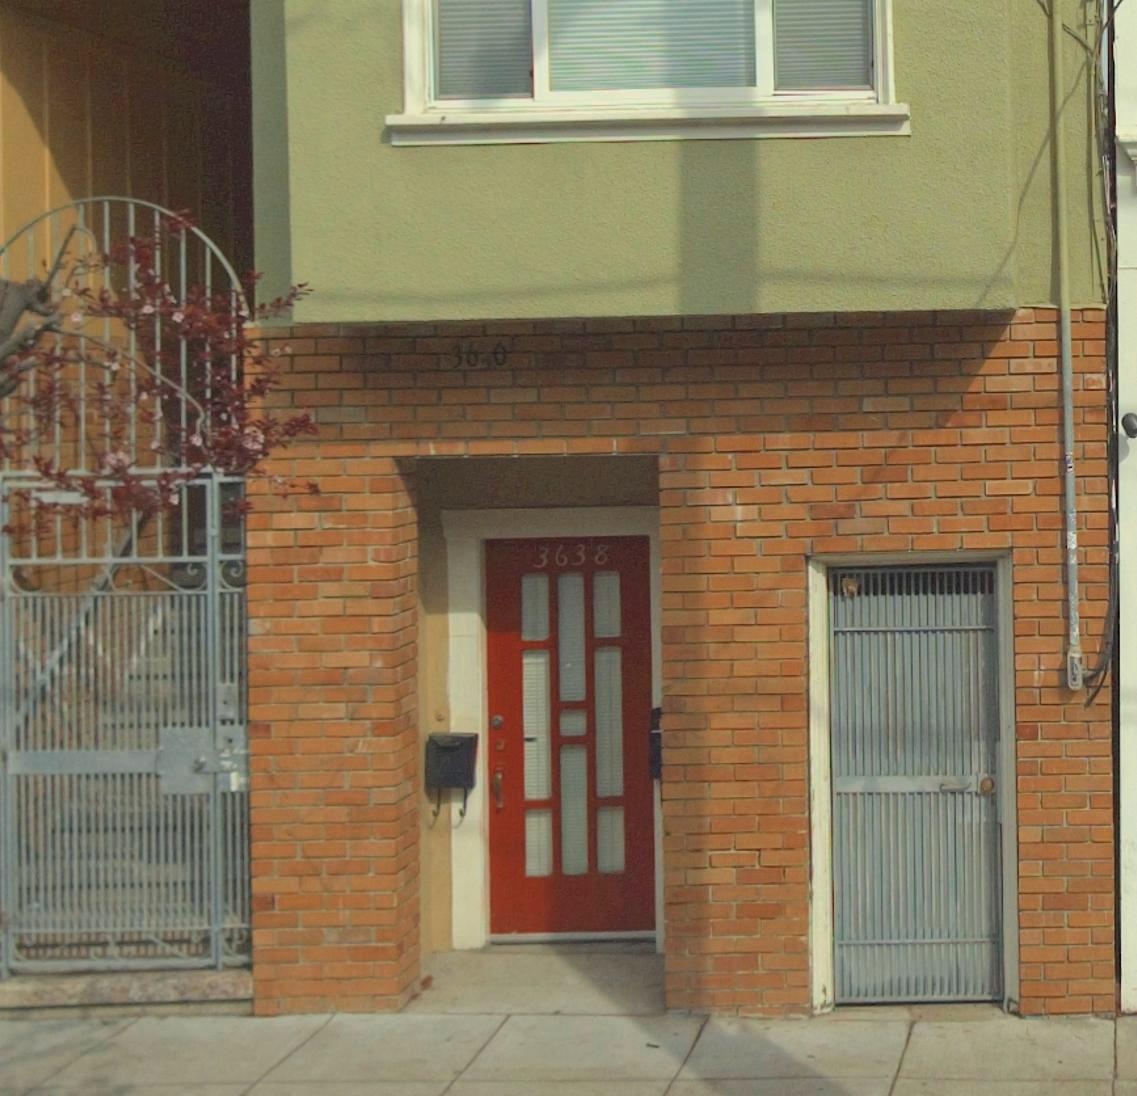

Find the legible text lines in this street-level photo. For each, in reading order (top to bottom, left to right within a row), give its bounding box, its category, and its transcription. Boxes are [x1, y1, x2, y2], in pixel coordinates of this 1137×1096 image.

[450, 338, 510, 371] StreetNumber: 36*0
[530, 543, 613, 570] StreetNumber: 3638